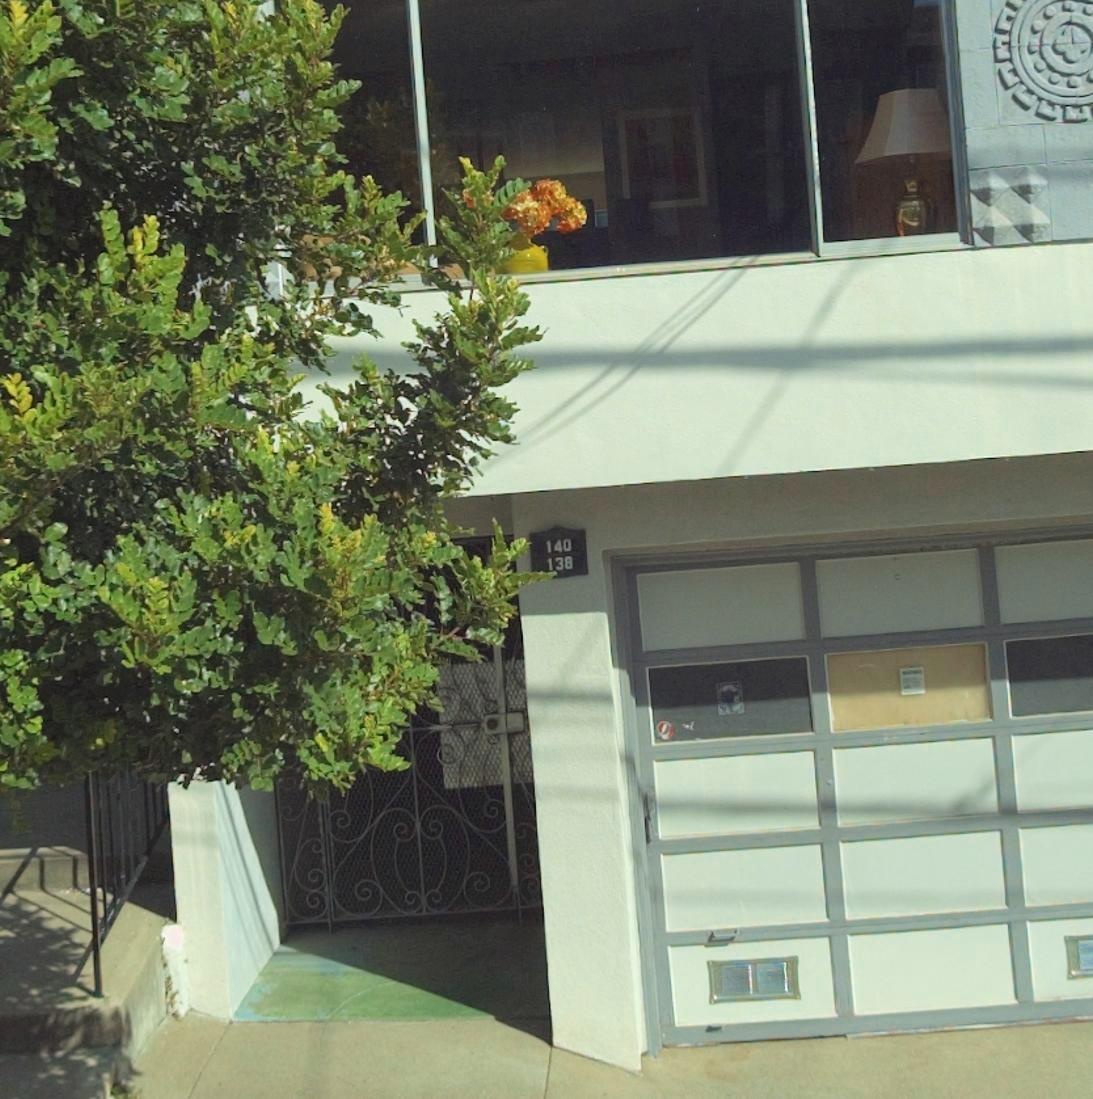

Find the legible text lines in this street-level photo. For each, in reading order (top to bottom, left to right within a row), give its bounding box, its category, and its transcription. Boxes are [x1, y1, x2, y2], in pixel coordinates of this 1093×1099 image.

[544, 537, 573, 555] StreetNumber: 140
[546, 556, 574, 572] StreetNumber: 138